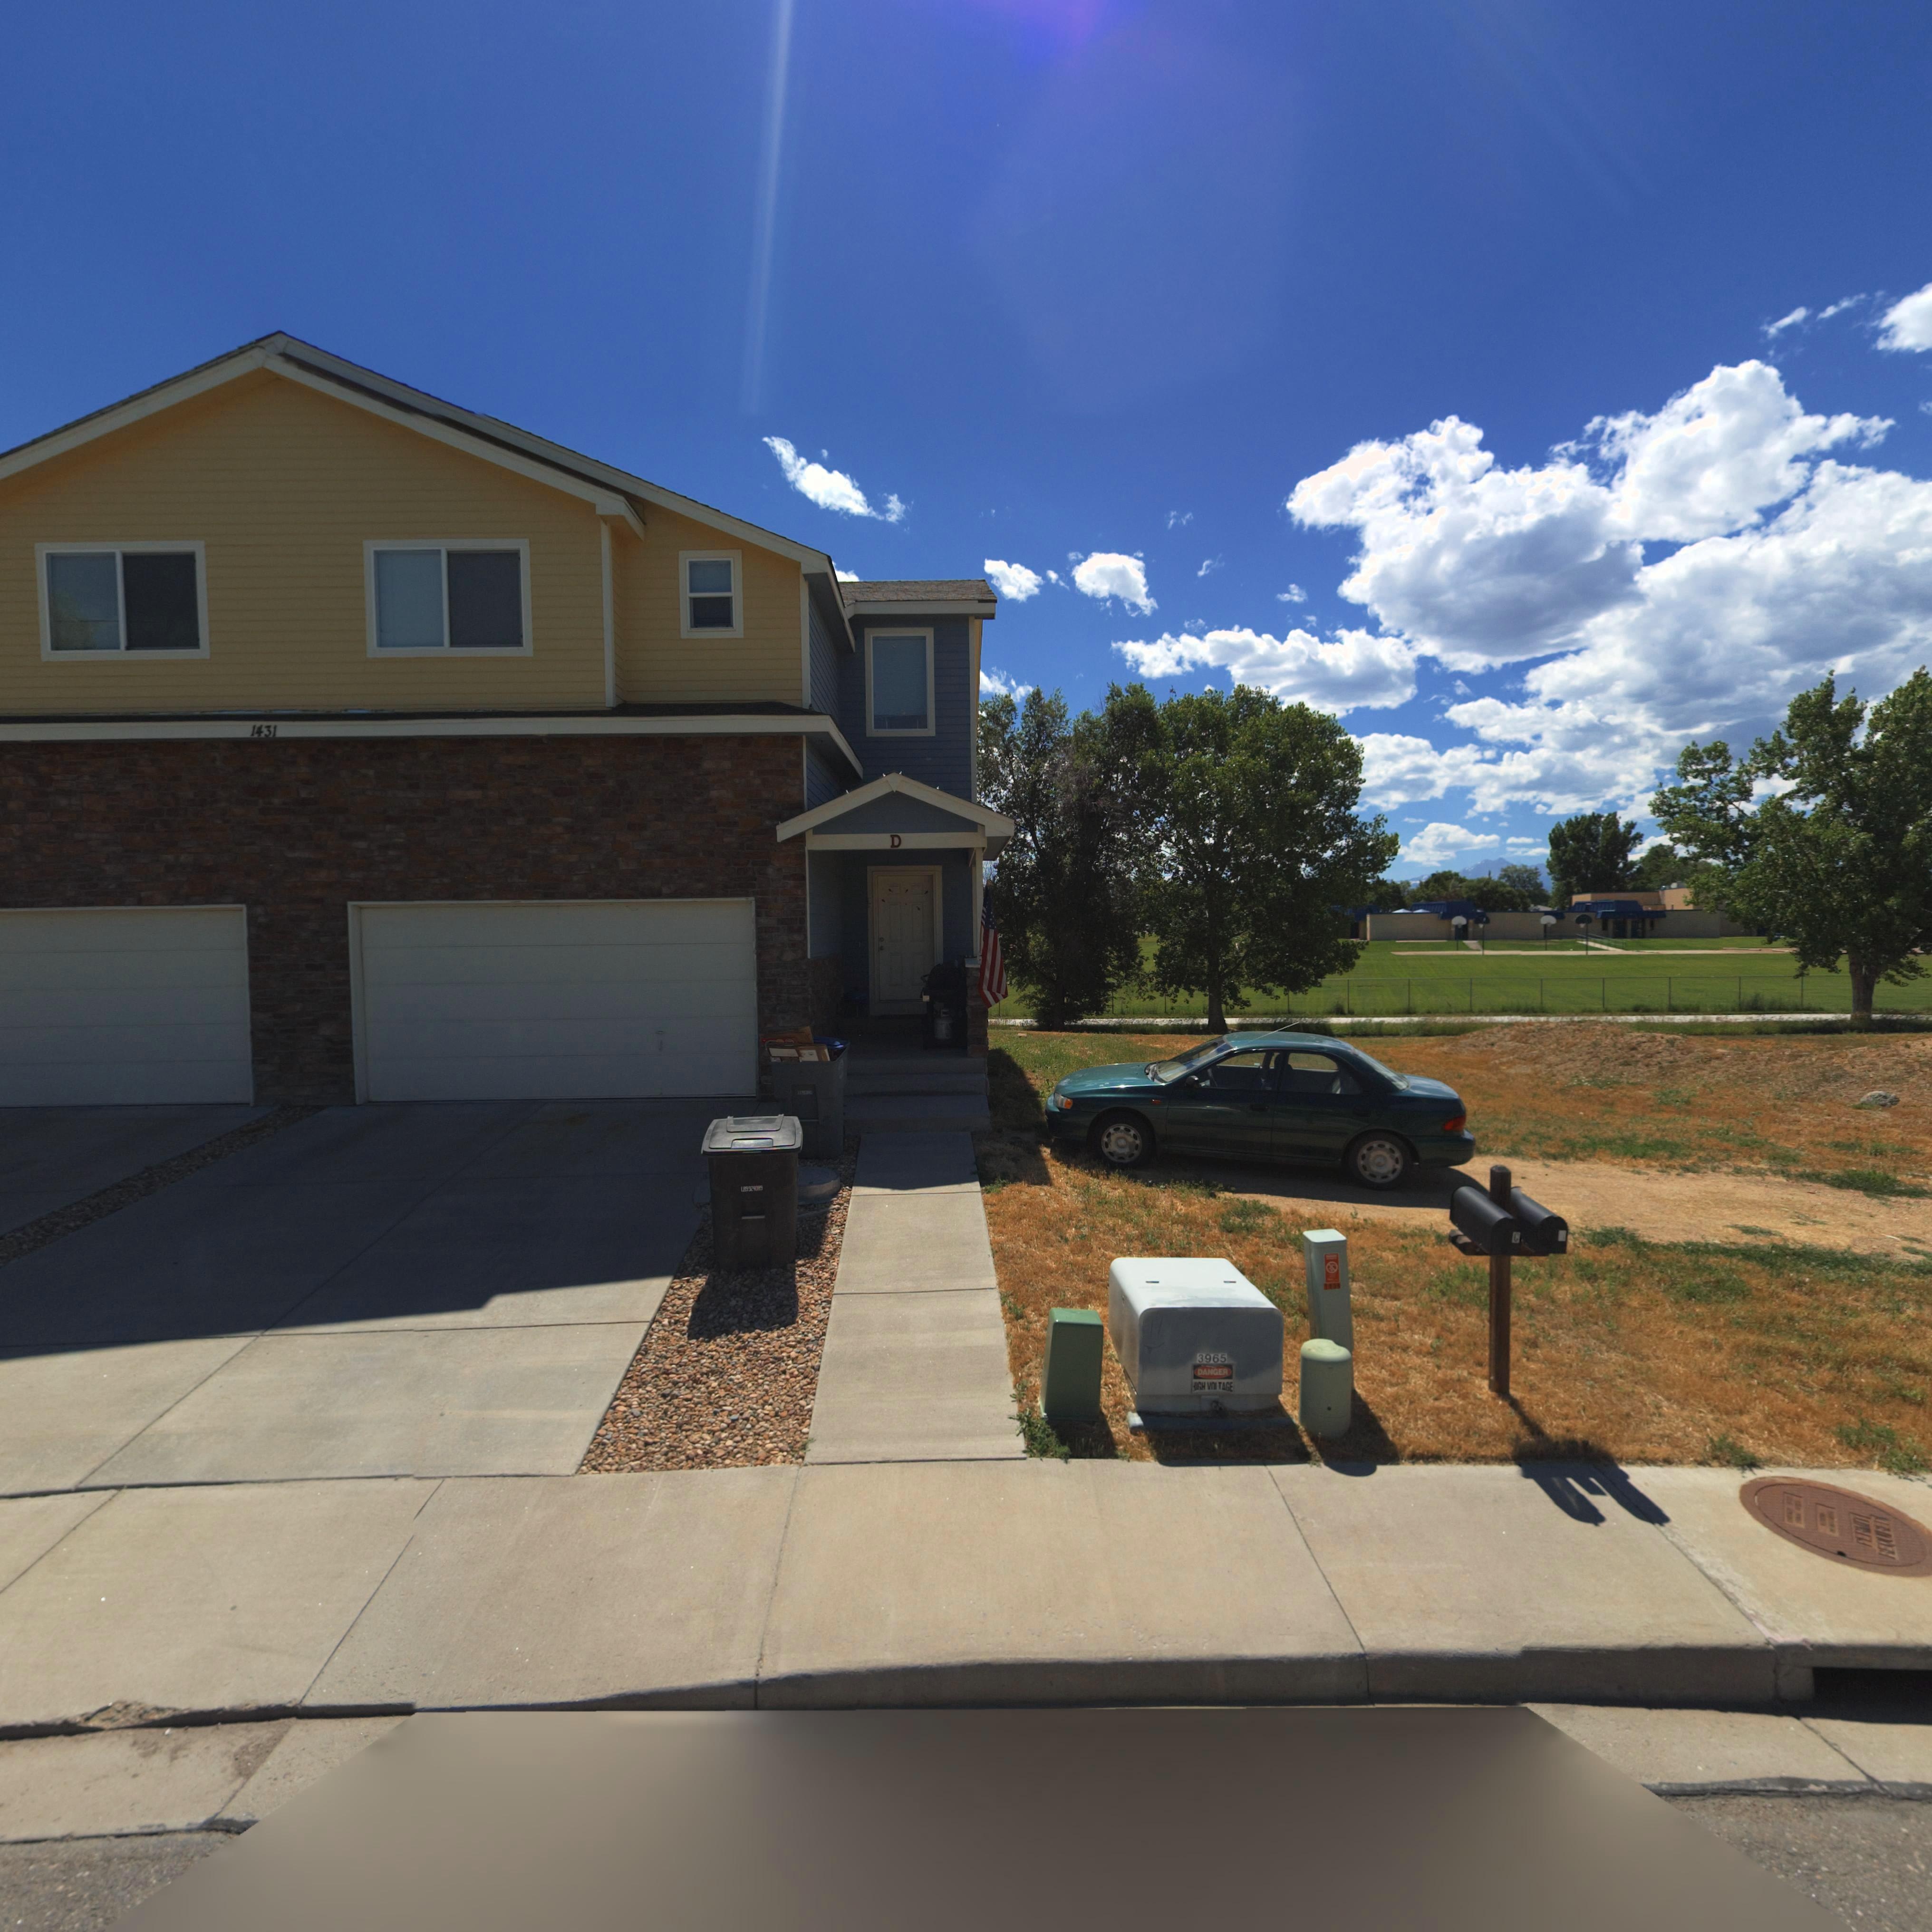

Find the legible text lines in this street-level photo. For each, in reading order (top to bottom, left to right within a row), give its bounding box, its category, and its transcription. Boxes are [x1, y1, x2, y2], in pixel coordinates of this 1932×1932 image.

[250, 724, 278, 738] StreetNumber: 1431
[889, 834, 902, 849] SecondaryUnitDesignator: D
[1513, 1232, 1520, 1243] SecondaryUnitDesignator: C